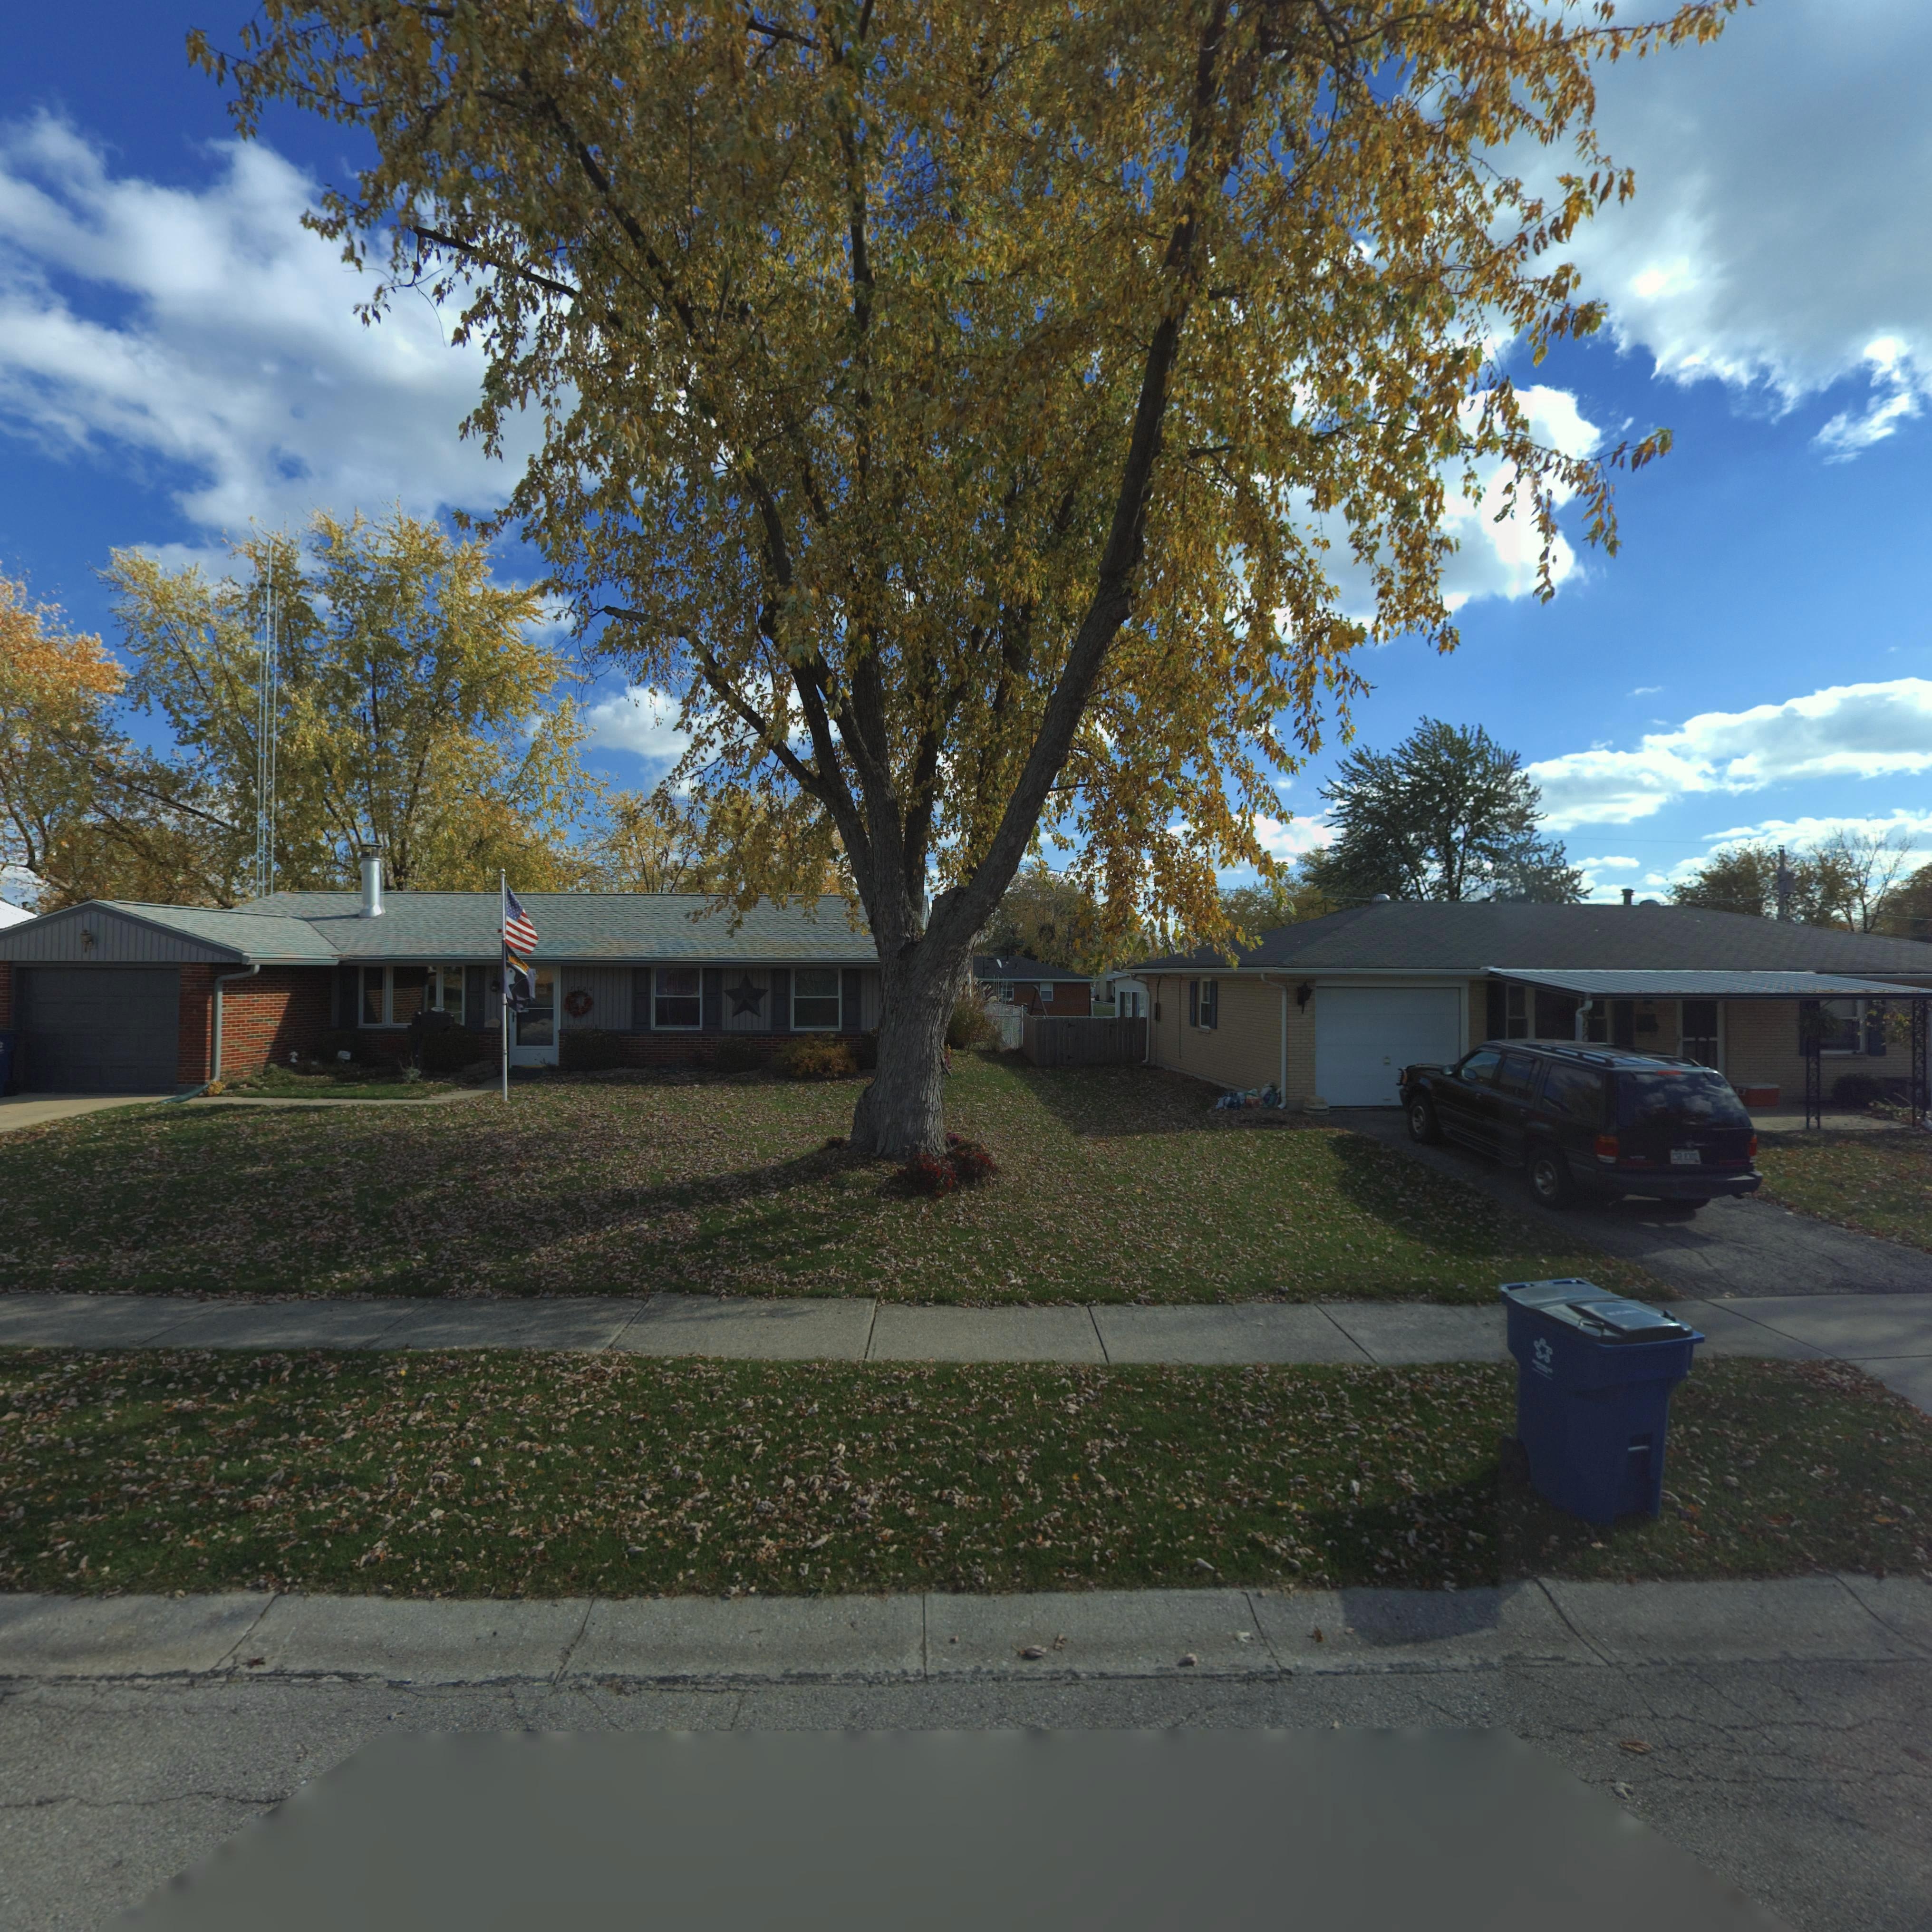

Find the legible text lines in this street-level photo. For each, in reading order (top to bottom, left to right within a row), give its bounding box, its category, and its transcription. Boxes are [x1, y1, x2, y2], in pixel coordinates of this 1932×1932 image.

[569, 985, 593, 992] StreetNumber: 7720
[434, 1007, 441, 1011] StreetNumber: 7*20